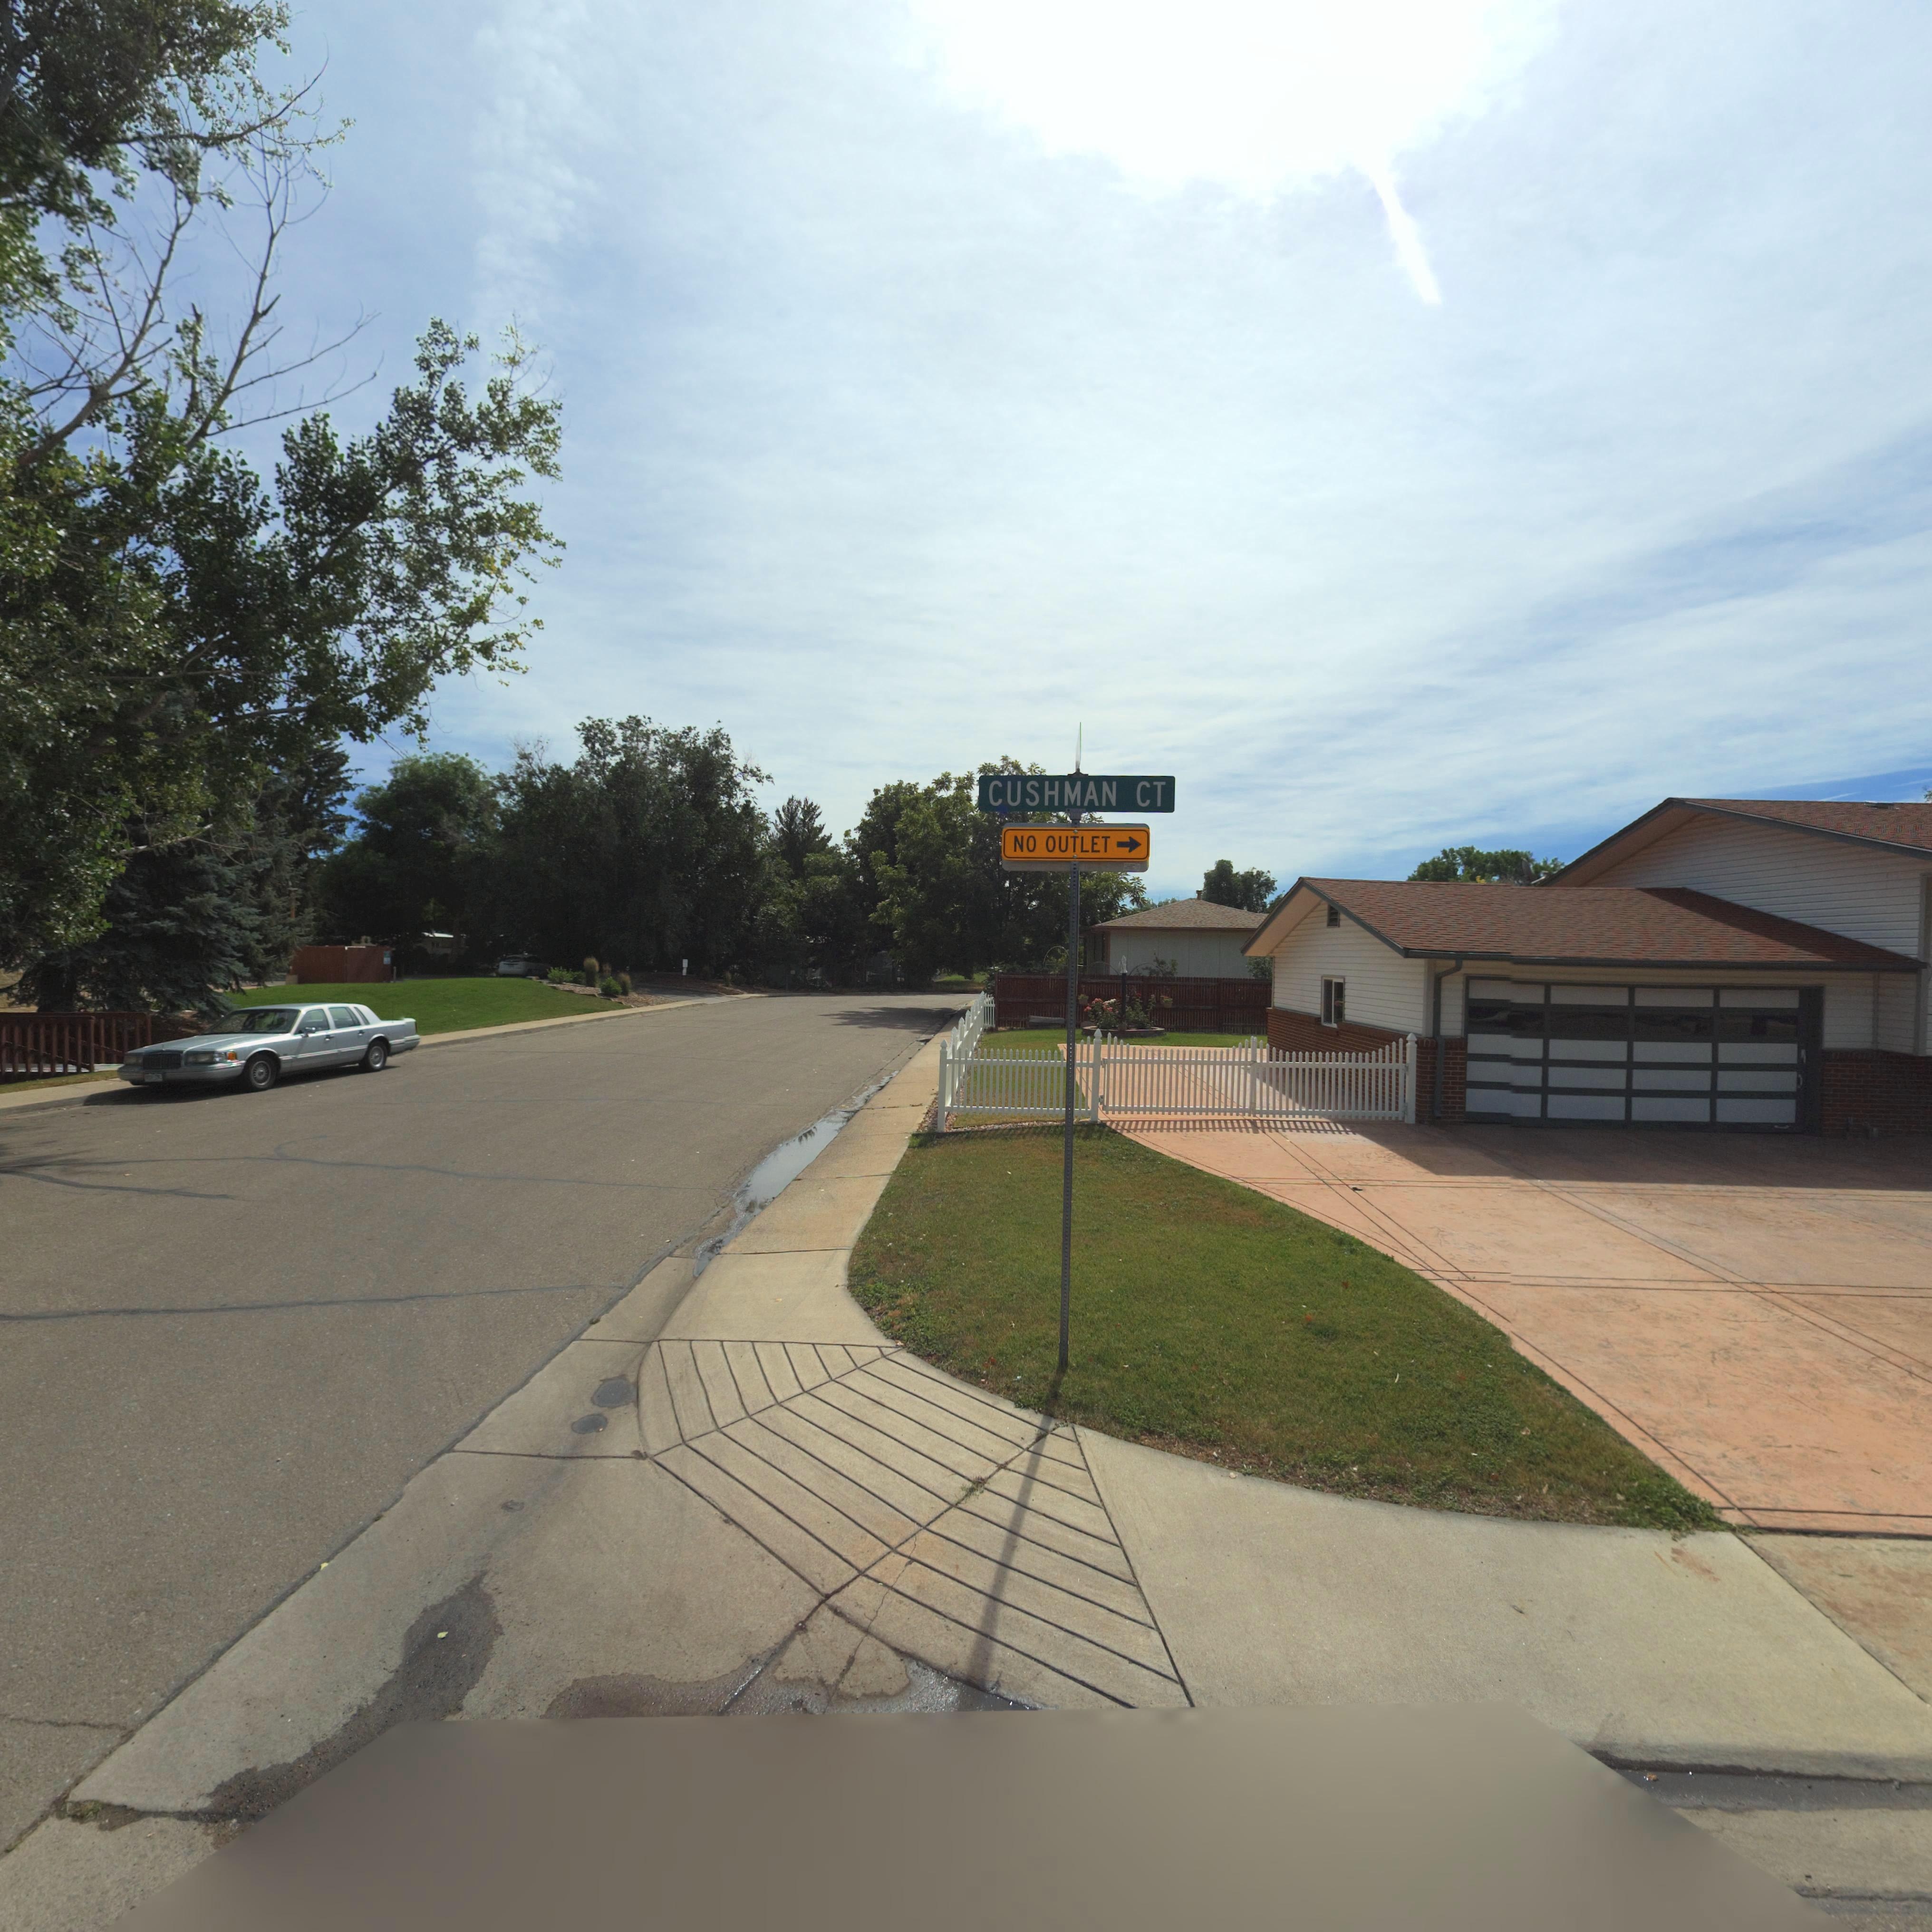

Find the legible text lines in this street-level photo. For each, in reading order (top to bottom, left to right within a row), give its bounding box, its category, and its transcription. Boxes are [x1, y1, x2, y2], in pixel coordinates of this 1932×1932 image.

[988, 780, 1167, 807] StreetName: CUSHMAN CT